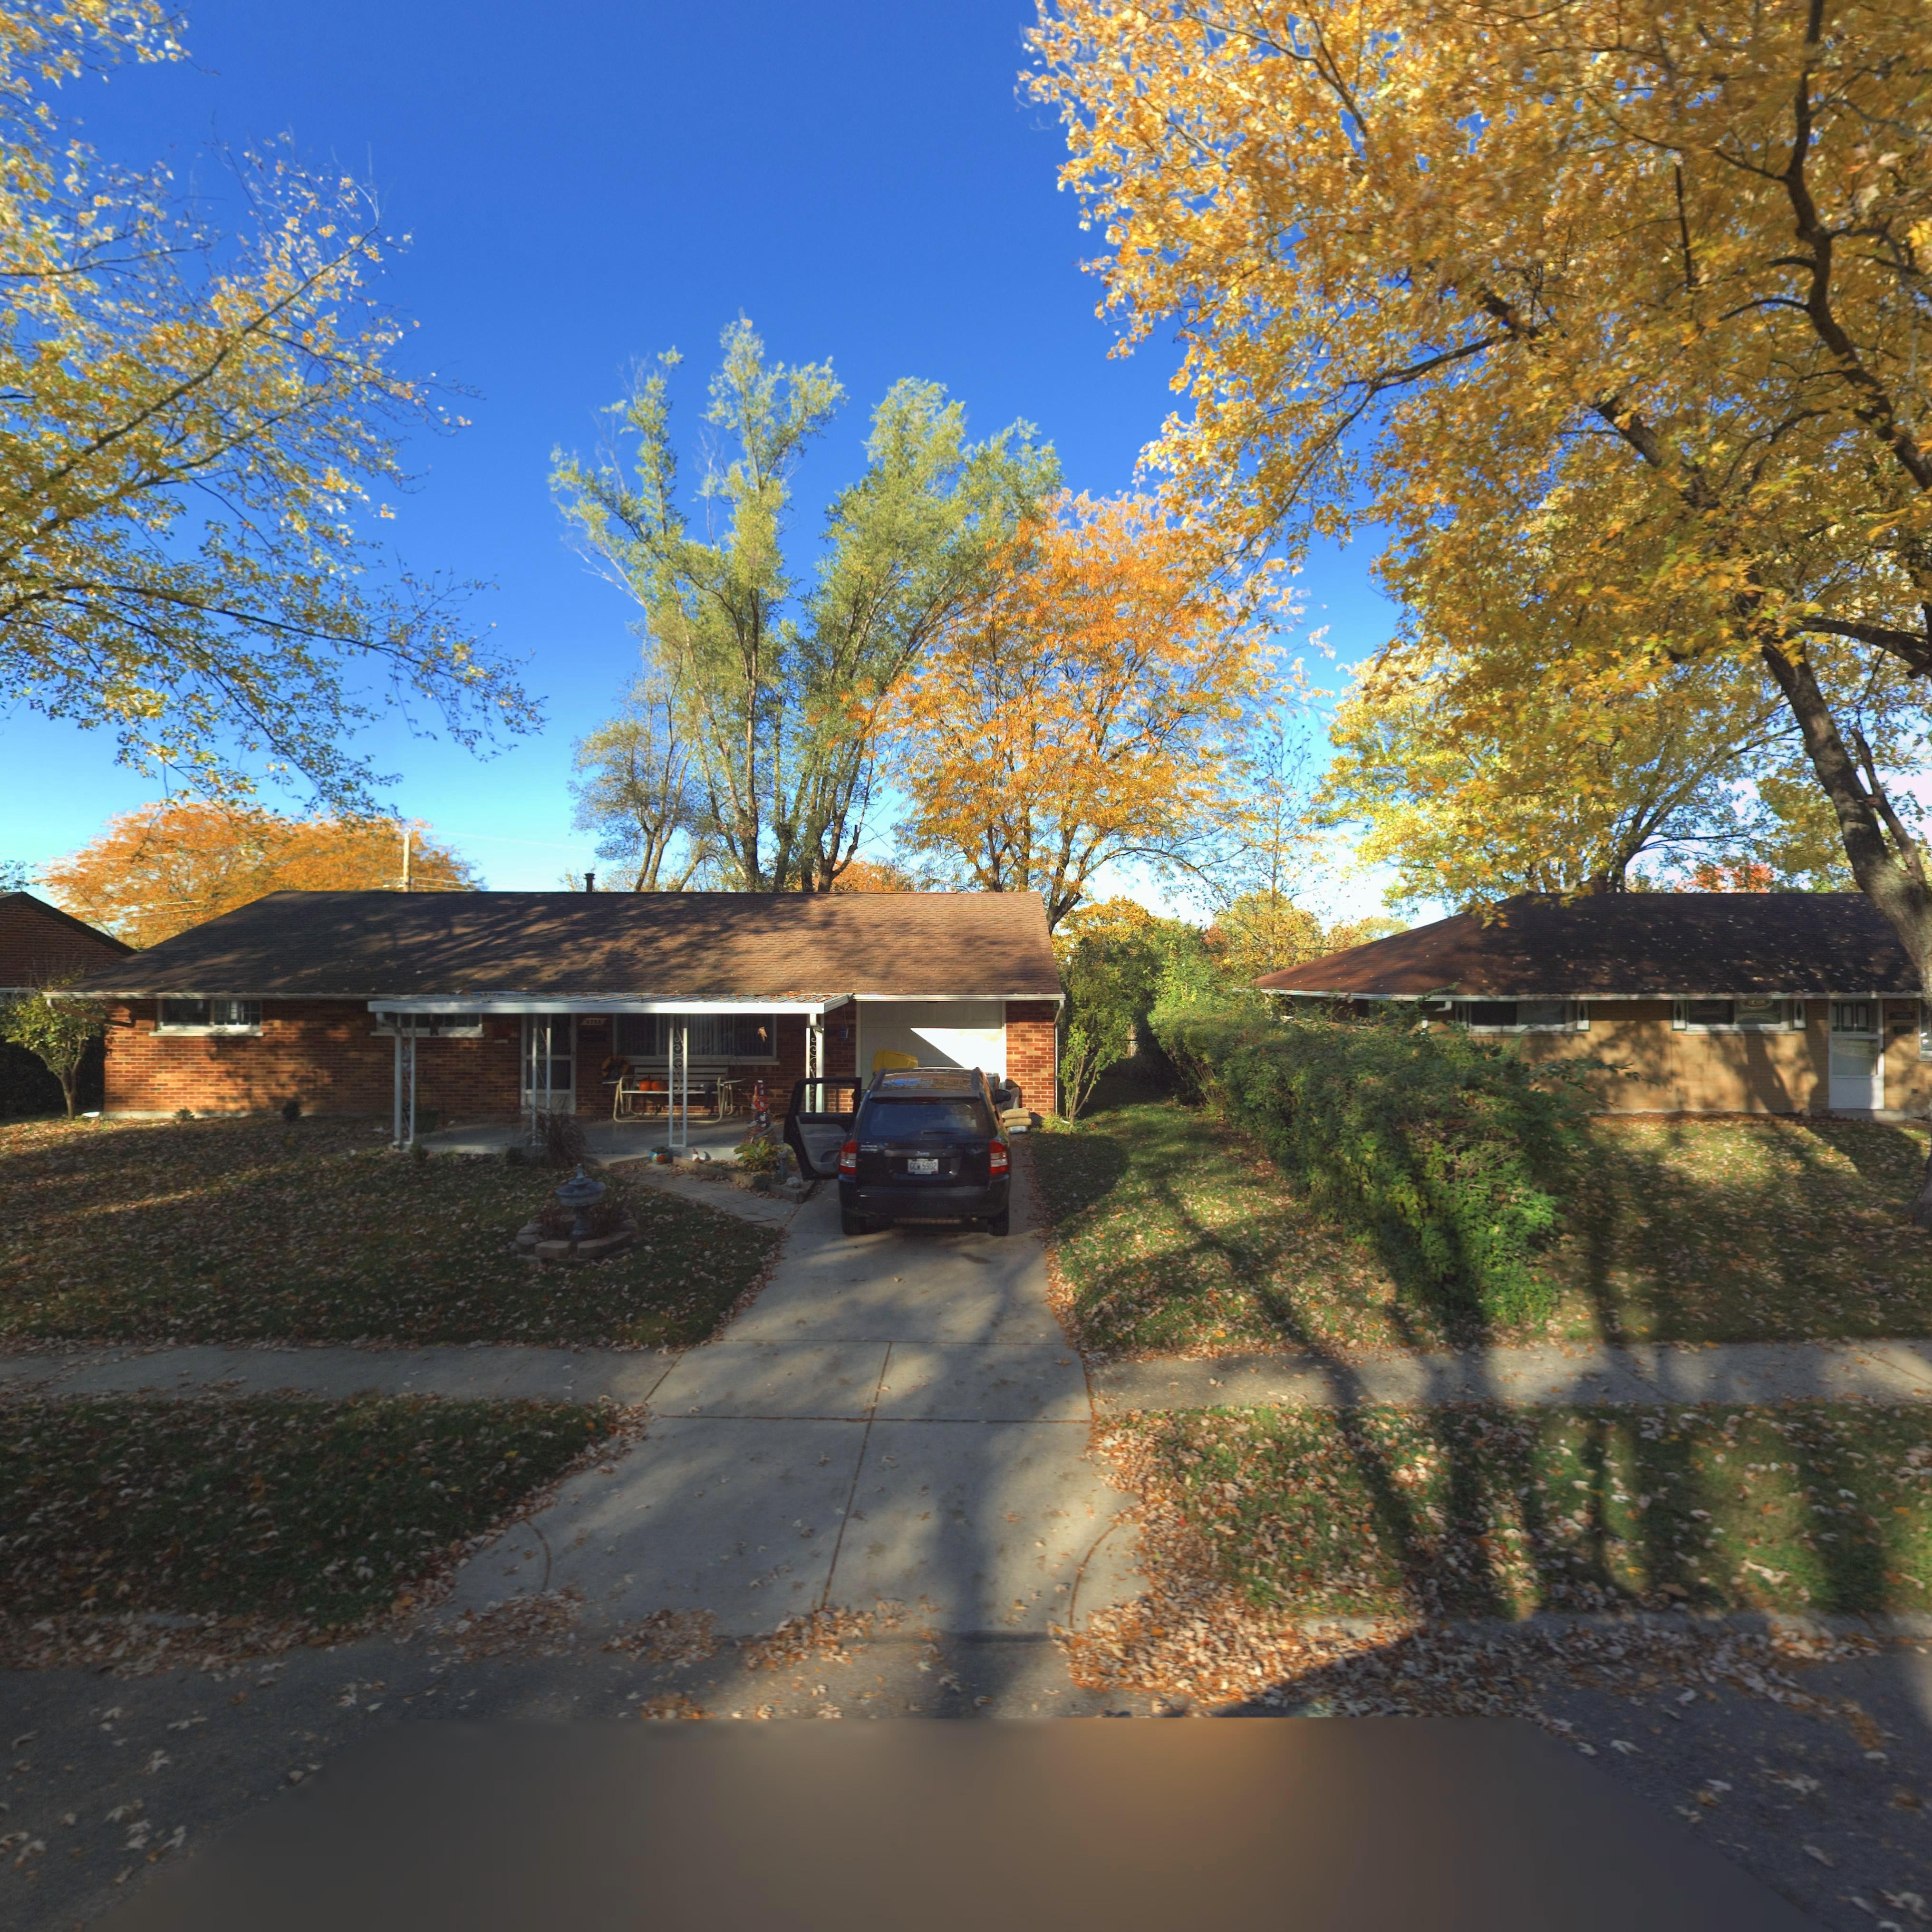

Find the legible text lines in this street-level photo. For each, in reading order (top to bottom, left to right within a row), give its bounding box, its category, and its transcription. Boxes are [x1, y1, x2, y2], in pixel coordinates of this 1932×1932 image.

[1895, 1012, 1912, 1018] StreetNumber: 4745
[585, 1019, 602, 1025] StreetNumber: 4755